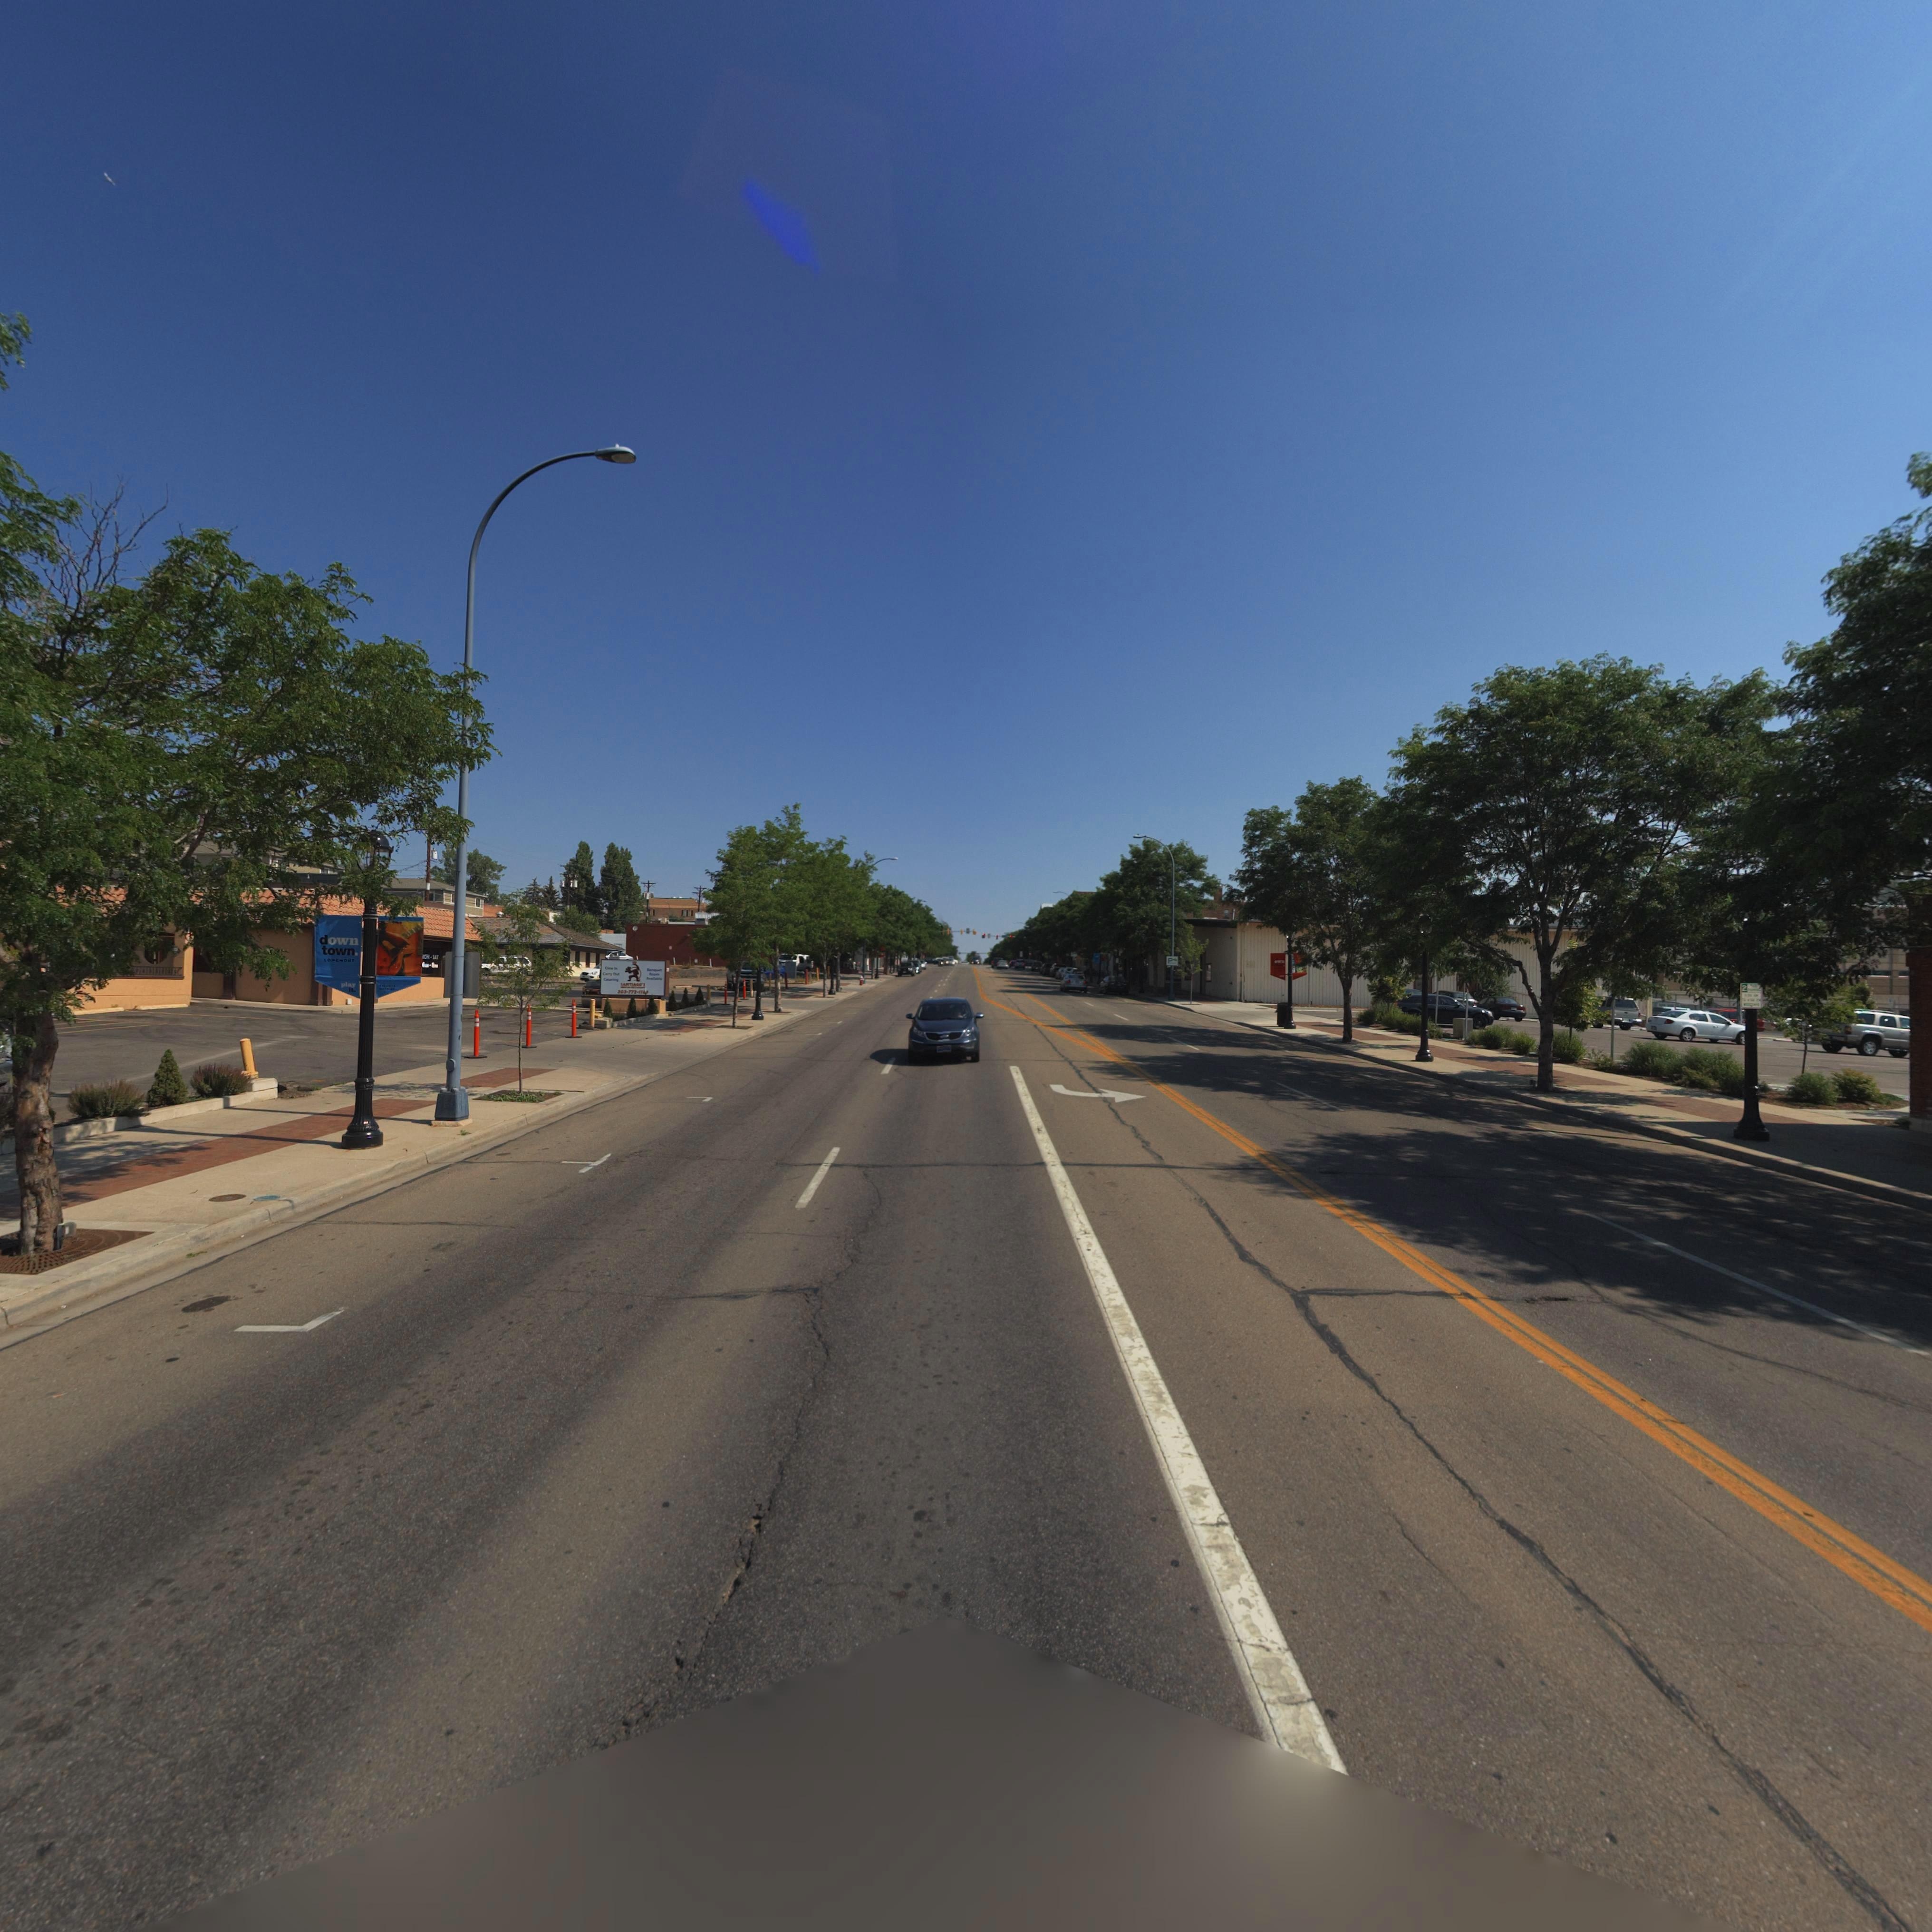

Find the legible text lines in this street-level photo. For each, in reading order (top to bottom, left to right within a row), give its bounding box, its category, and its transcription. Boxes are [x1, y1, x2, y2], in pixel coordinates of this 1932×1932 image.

[620, 982, 645, 986] BusinessName: *A*TIA*O'*